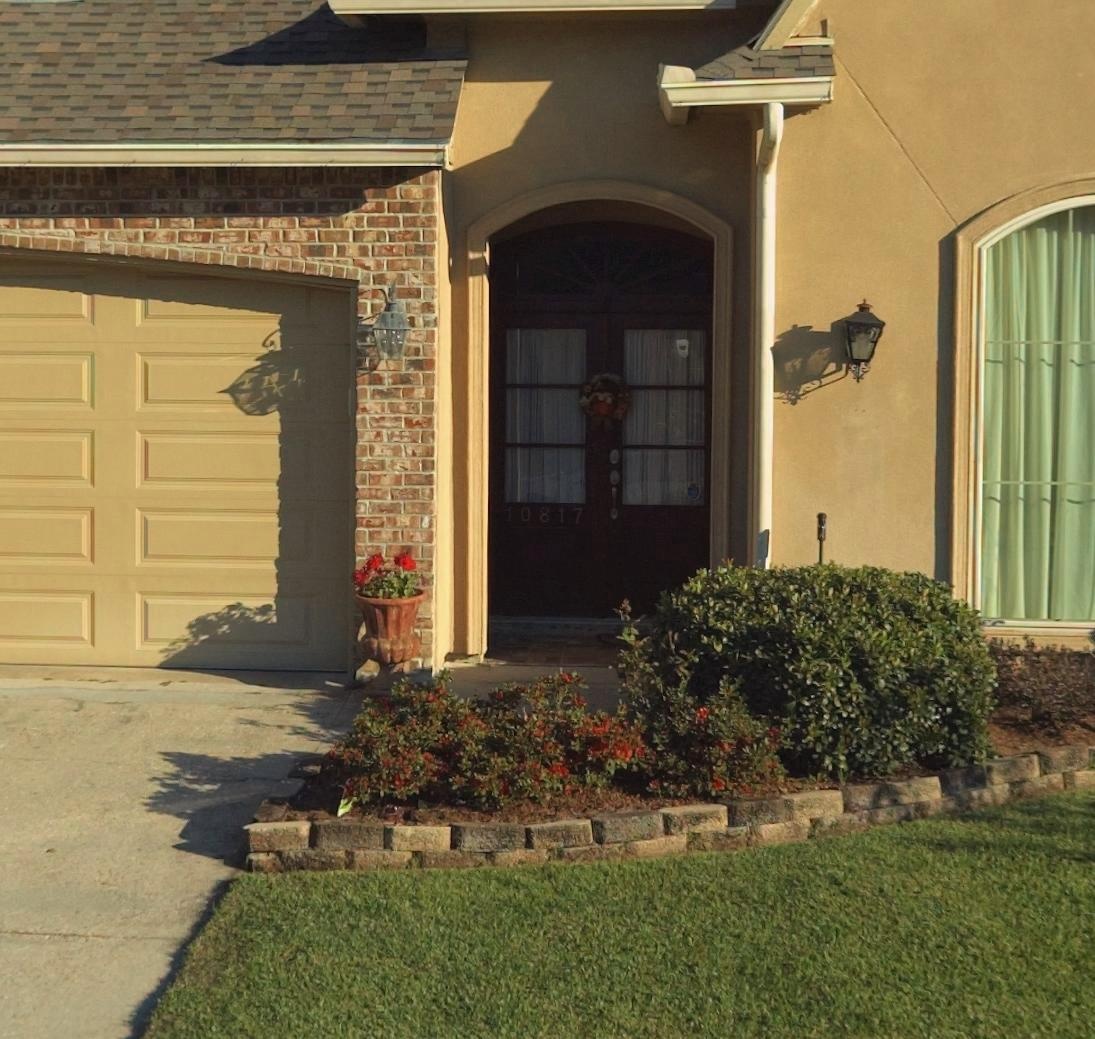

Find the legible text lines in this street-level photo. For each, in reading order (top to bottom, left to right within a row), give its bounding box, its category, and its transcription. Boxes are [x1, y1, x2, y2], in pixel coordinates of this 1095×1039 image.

[500, 503, 585, 525] StreetNumber: 10817